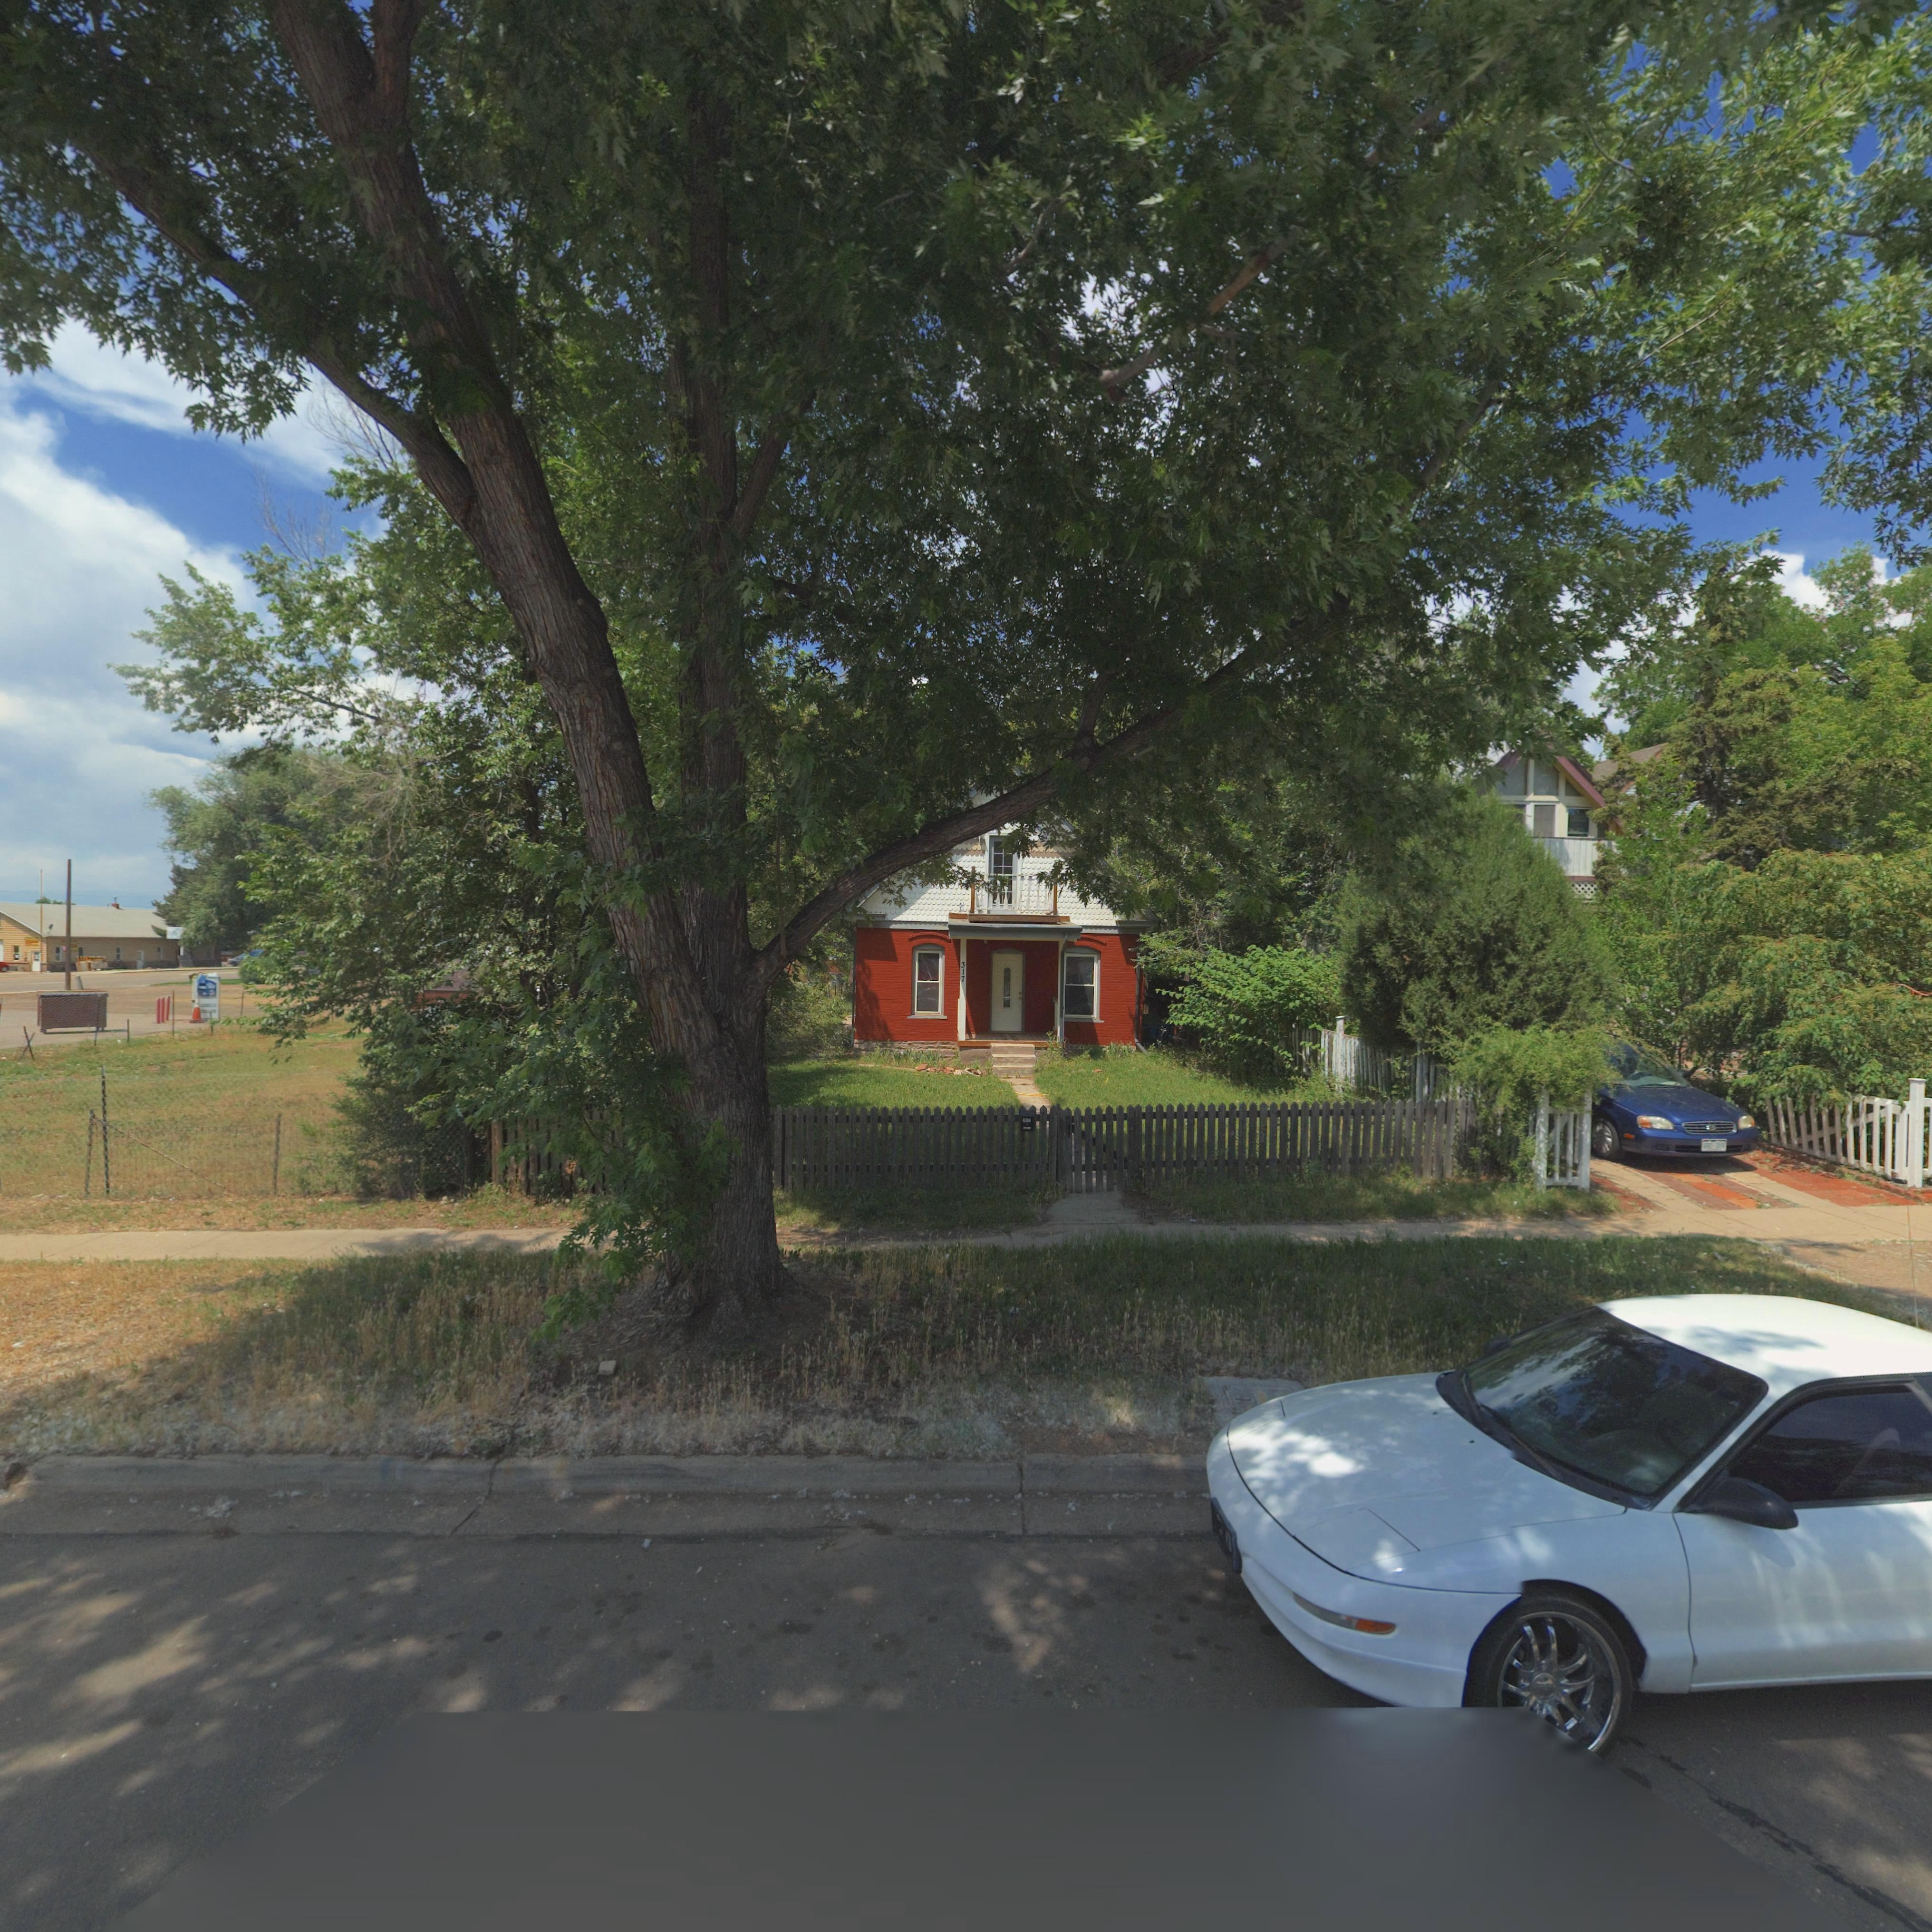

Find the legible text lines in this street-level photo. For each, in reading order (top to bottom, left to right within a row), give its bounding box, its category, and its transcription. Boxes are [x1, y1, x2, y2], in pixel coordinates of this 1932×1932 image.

[961, 961, 965, 982] StreetNumber: 317